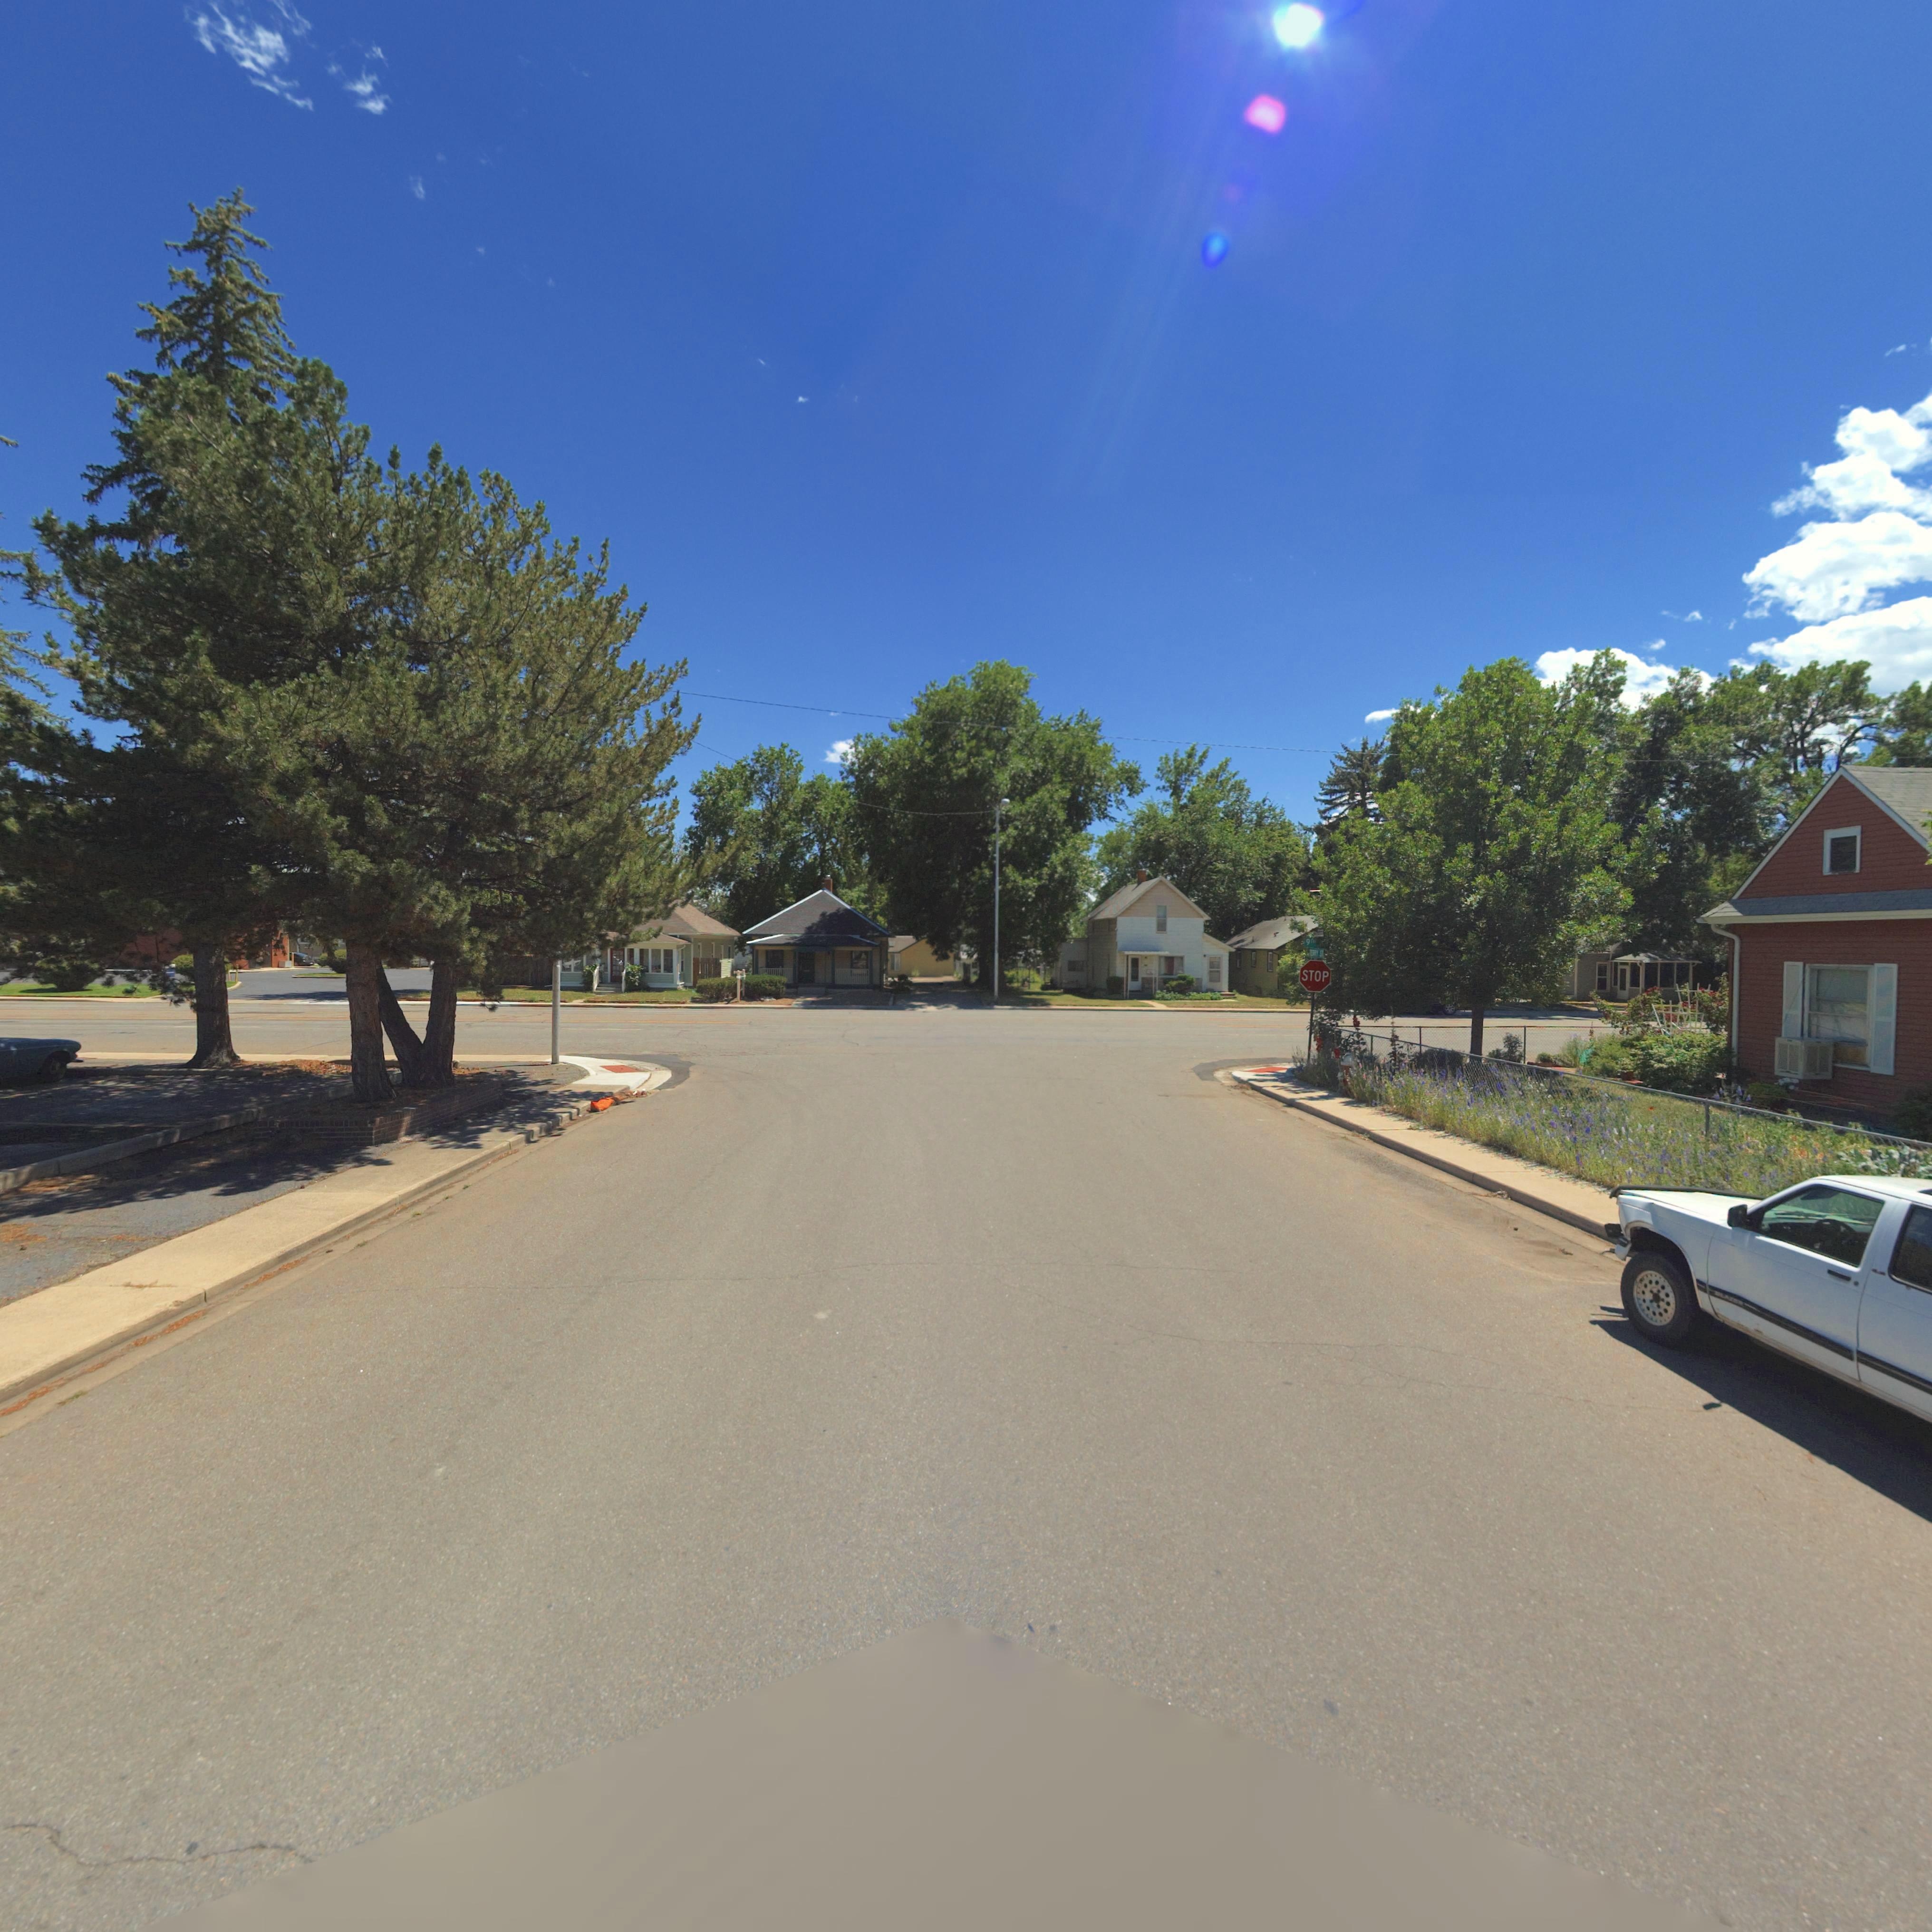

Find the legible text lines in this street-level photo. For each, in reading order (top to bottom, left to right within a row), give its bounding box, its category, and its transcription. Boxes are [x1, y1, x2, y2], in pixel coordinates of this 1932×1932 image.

[1306, 938, 1316, 945] StreetName: 9TH
[1309, 949, 1323, 956] StreetName: TERRY ST